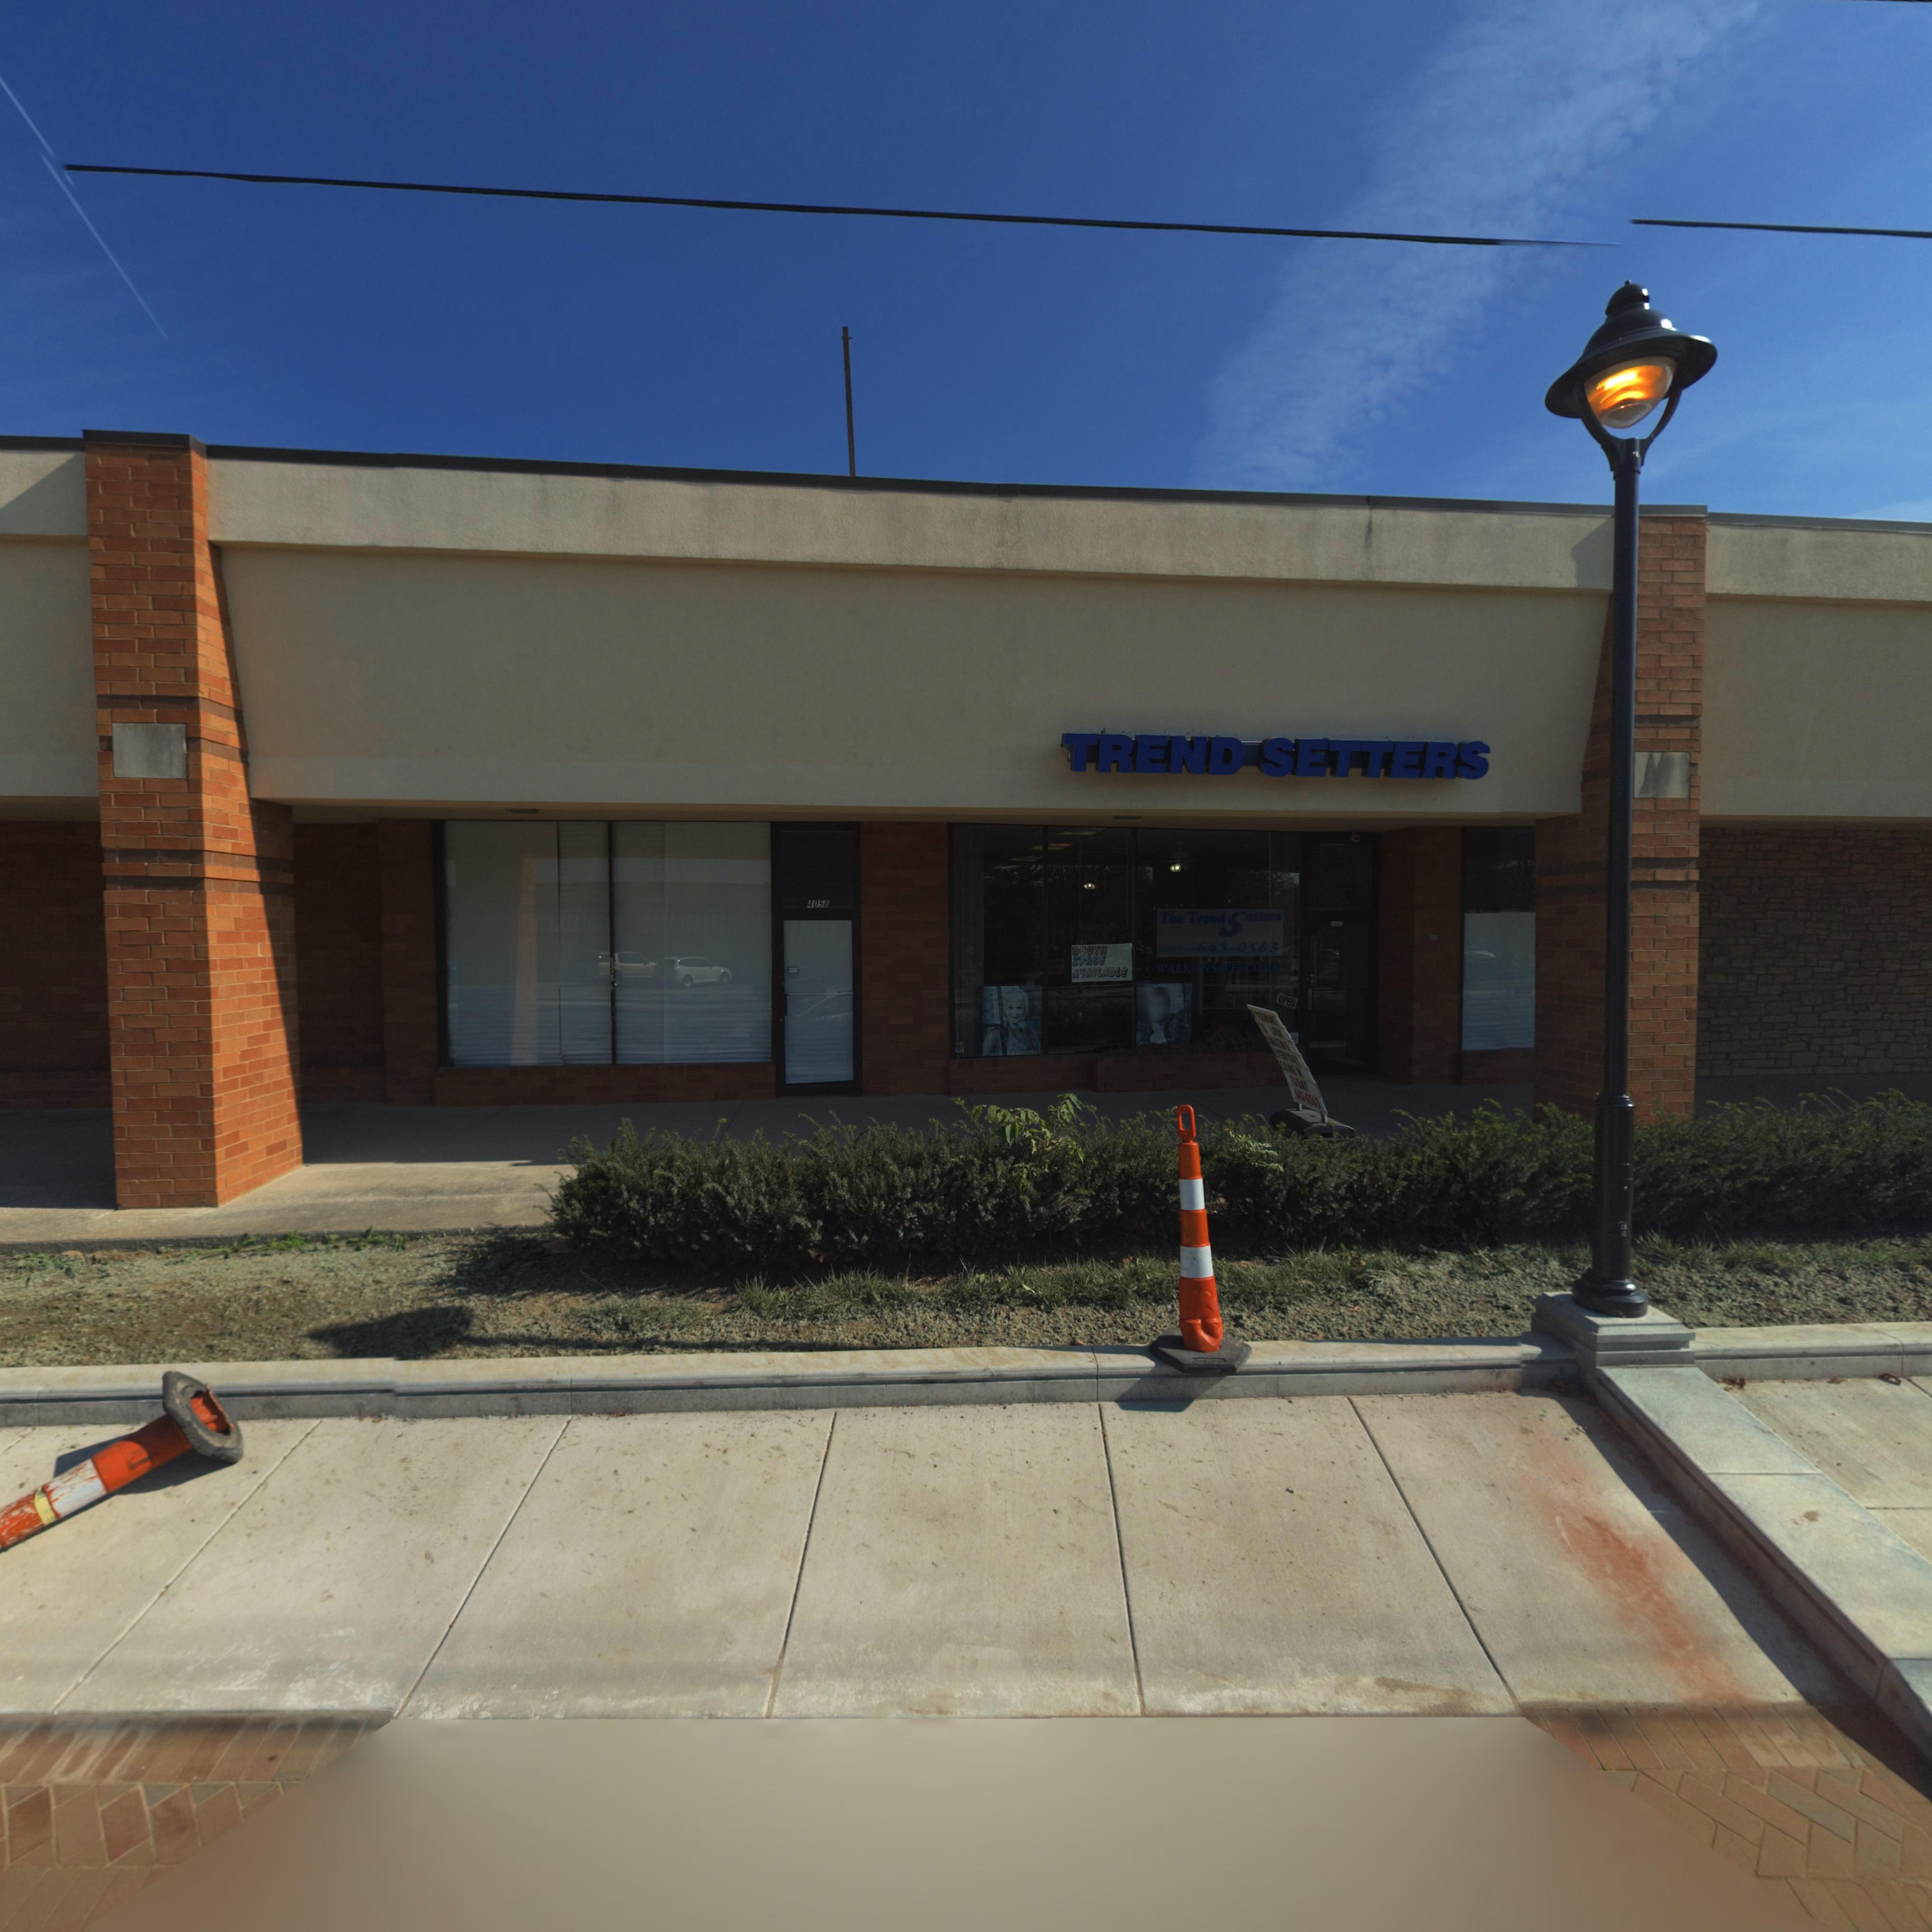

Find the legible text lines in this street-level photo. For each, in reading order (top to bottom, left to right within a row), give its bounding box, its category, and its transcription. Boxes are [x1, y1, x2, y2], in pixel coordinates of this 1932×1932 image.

[1063, 732, 1492, 781] BusinessName: TREND SETTERS
[807, 899, 830, 908] StreetNumber: 4058
[1159, 910, 1283, 938] BusinessName: The Trend Setters
[1331, 921, 1343, 927] StreetNumber: 40*2
[1072, 945, 1108, 956] None: BOOTH
[1158, 941, 1278, 955] None: (937)-643-0563
[1072, 955, 1106, 967] None: SPACE
[1072, 967, 1129, 979] None: AVAILABLE
[1156, 963, 1263, 974] None: WALK-*NS WELCO
[1277, 994, 1297, 1008] None: OPEN
[1288, 1074, 1310, 1092] None: TODAY
[1294, 1088, 1322, 1110] None: 643-0563